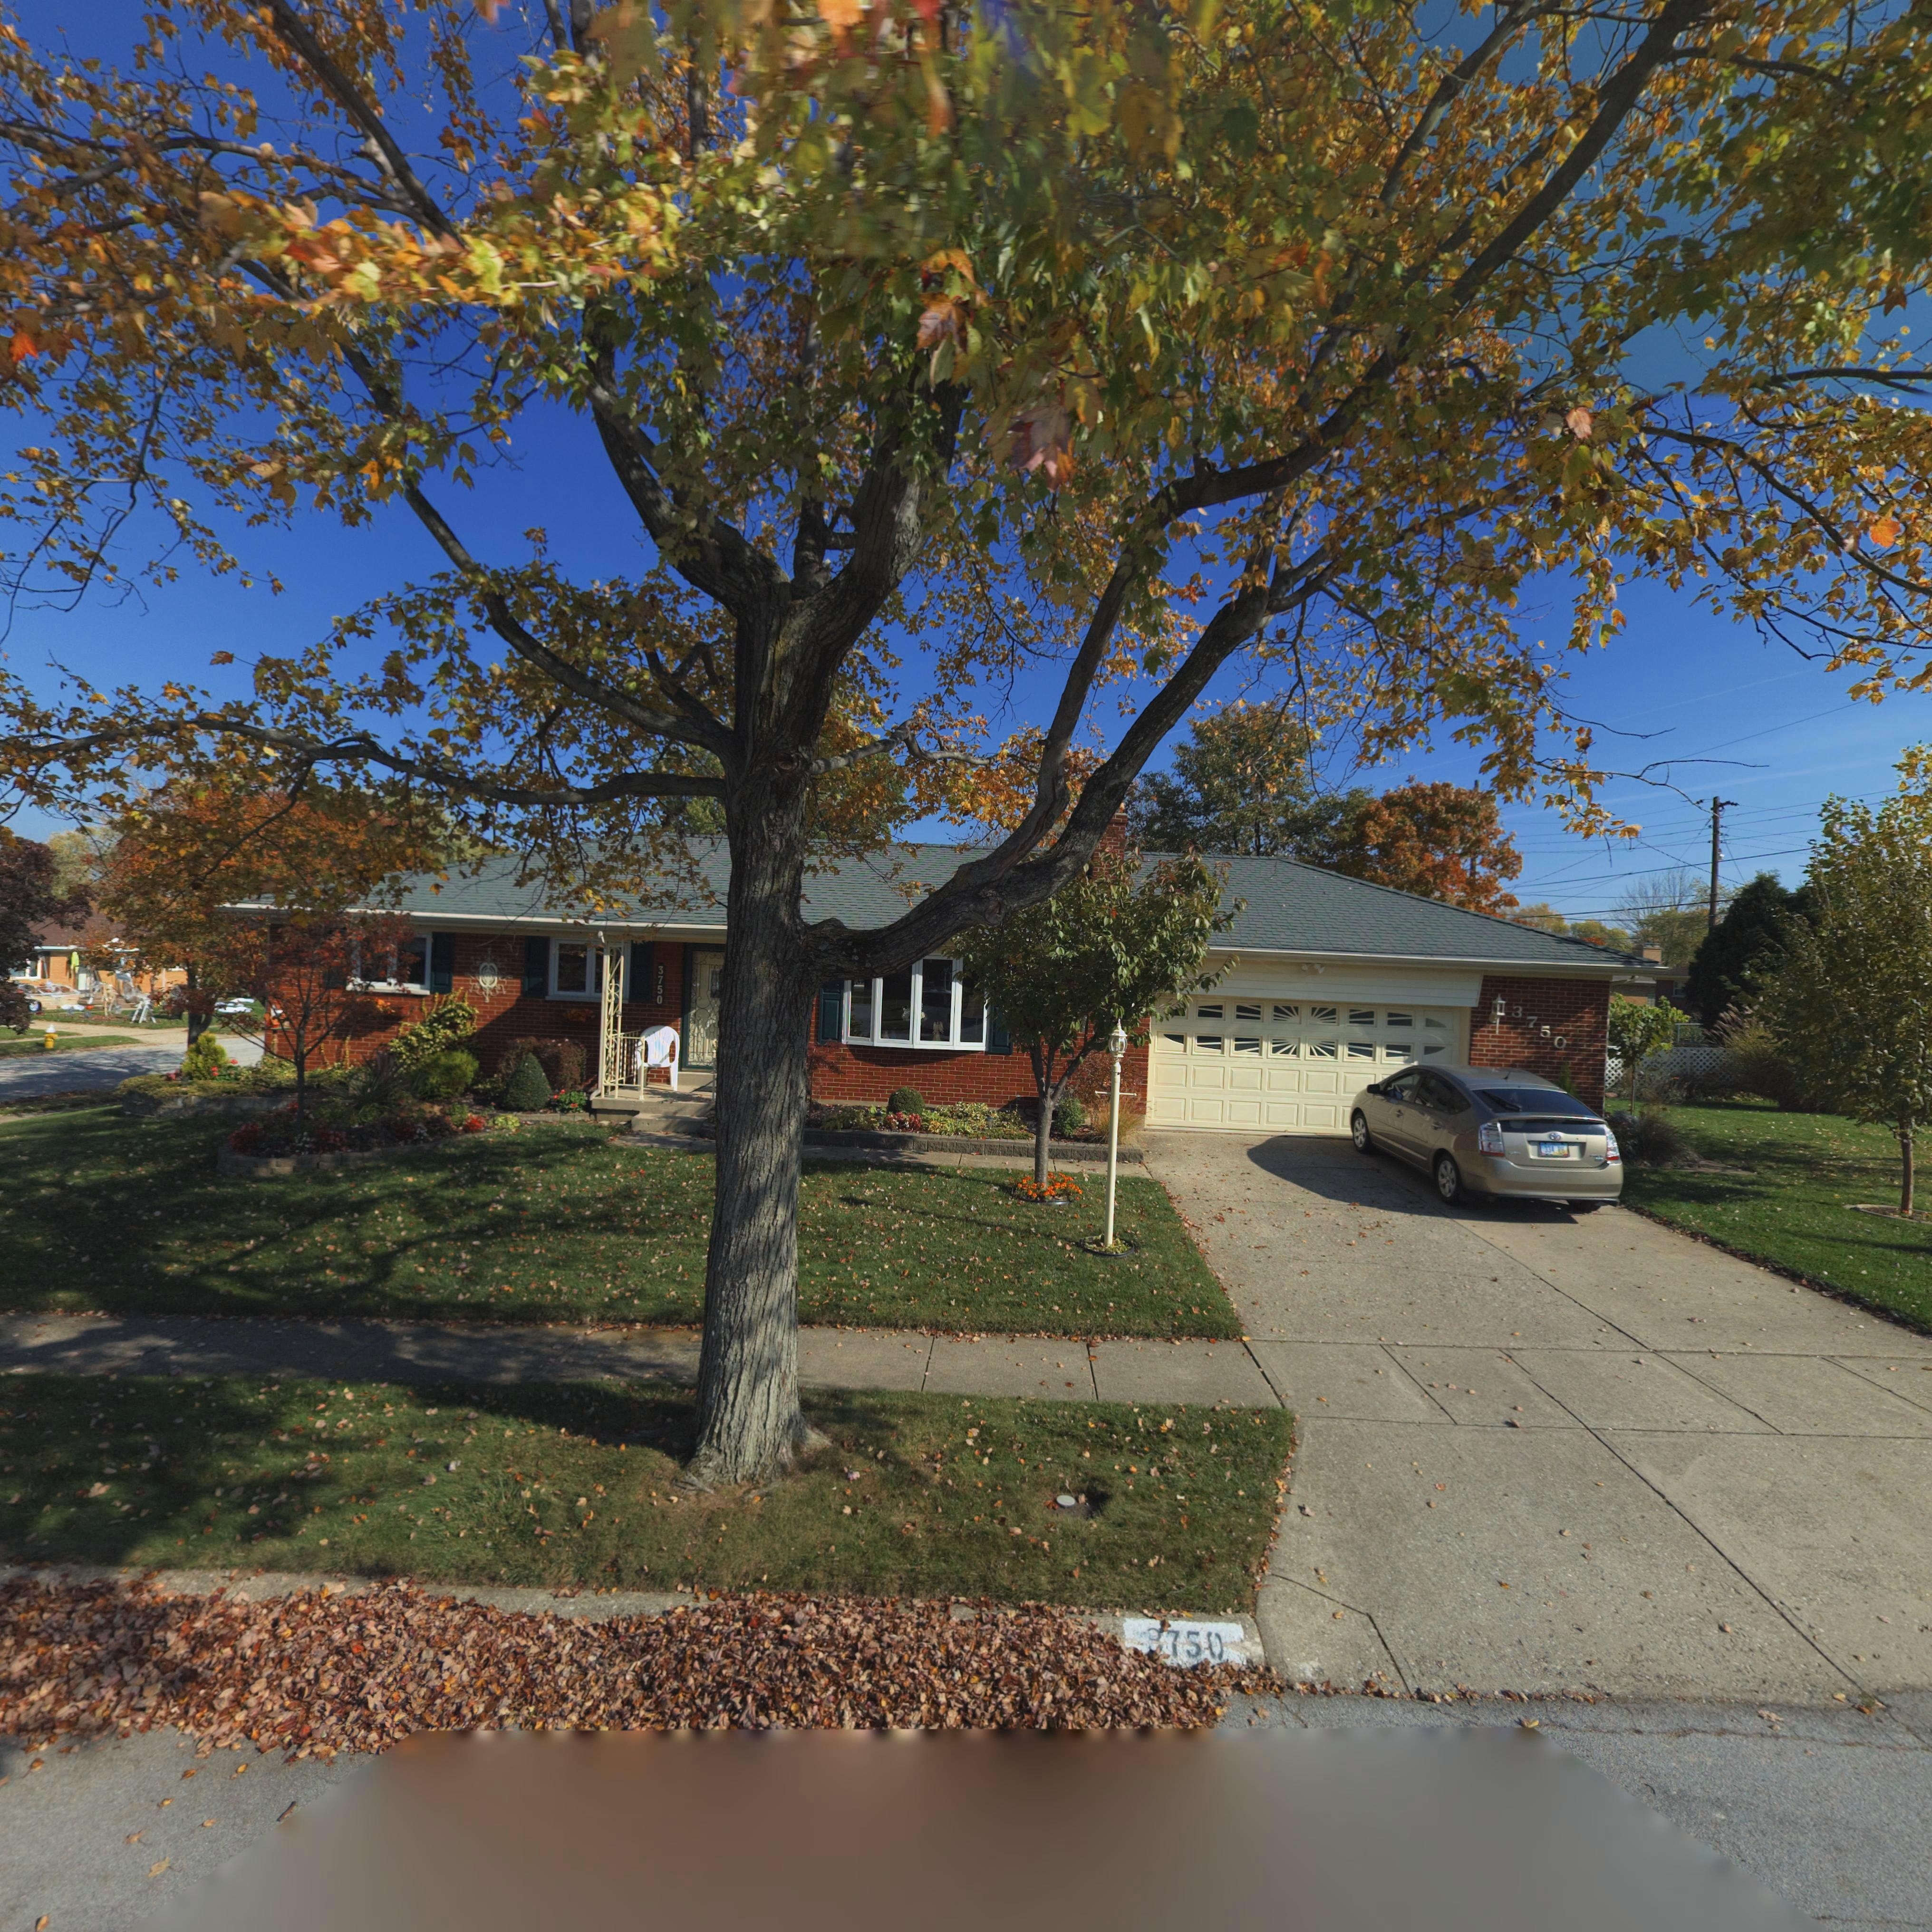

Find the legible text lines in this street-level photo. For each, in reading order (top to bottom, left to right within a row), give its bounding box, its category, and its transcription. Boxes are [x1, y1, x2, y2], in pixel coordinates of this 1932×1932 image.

[656, 966, 664, 1005] StreetNumber: 3750
[1511, 1005, 1567, 1050] StreetNumber: 3750
[1146, 1626, 1227, 1662] StreetNumber: 3750